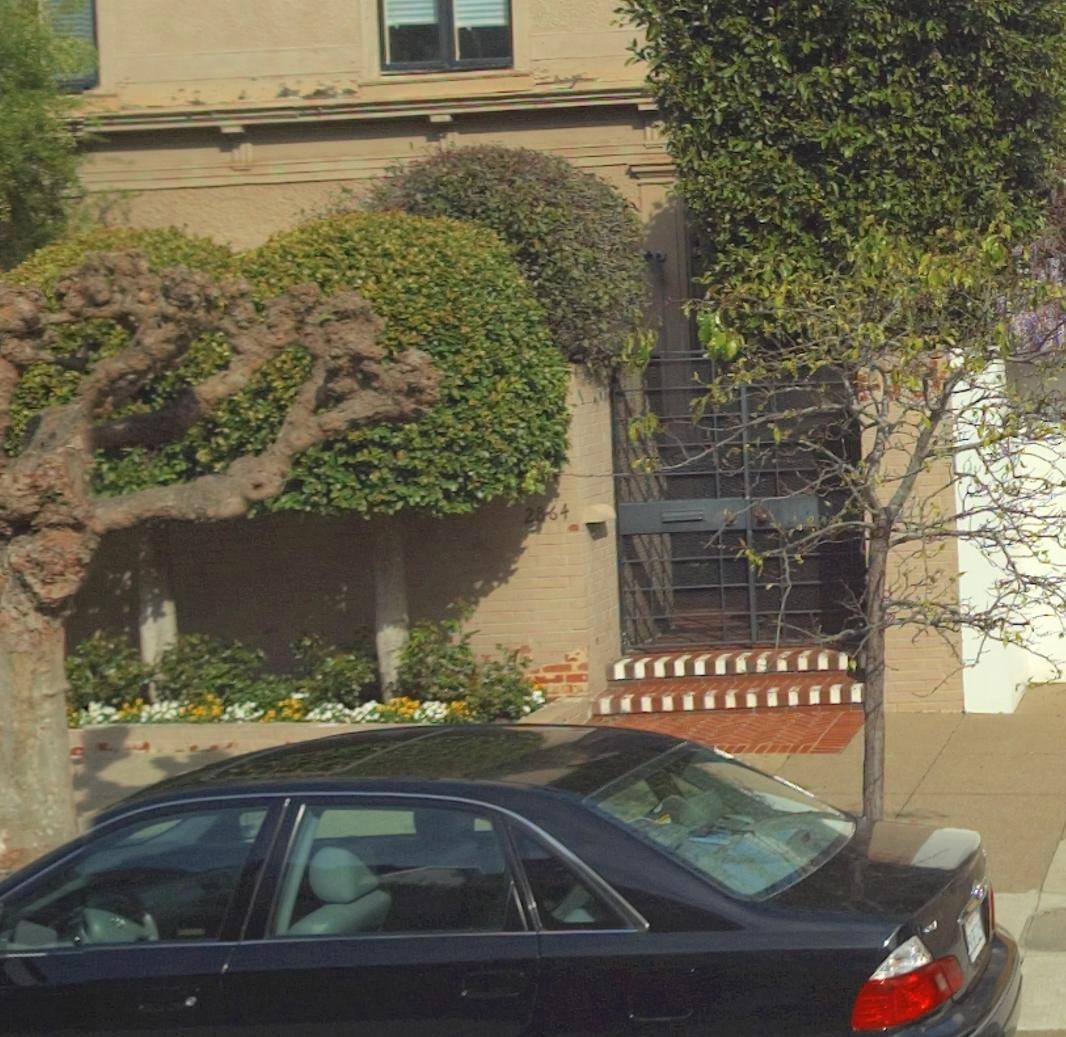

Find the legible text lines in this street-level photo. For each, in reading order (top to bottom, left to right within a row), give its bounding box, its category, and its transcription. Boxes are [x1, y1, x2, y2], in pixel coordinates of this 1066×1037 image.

[520, 499, 573, 528] StreetNumber: 2864